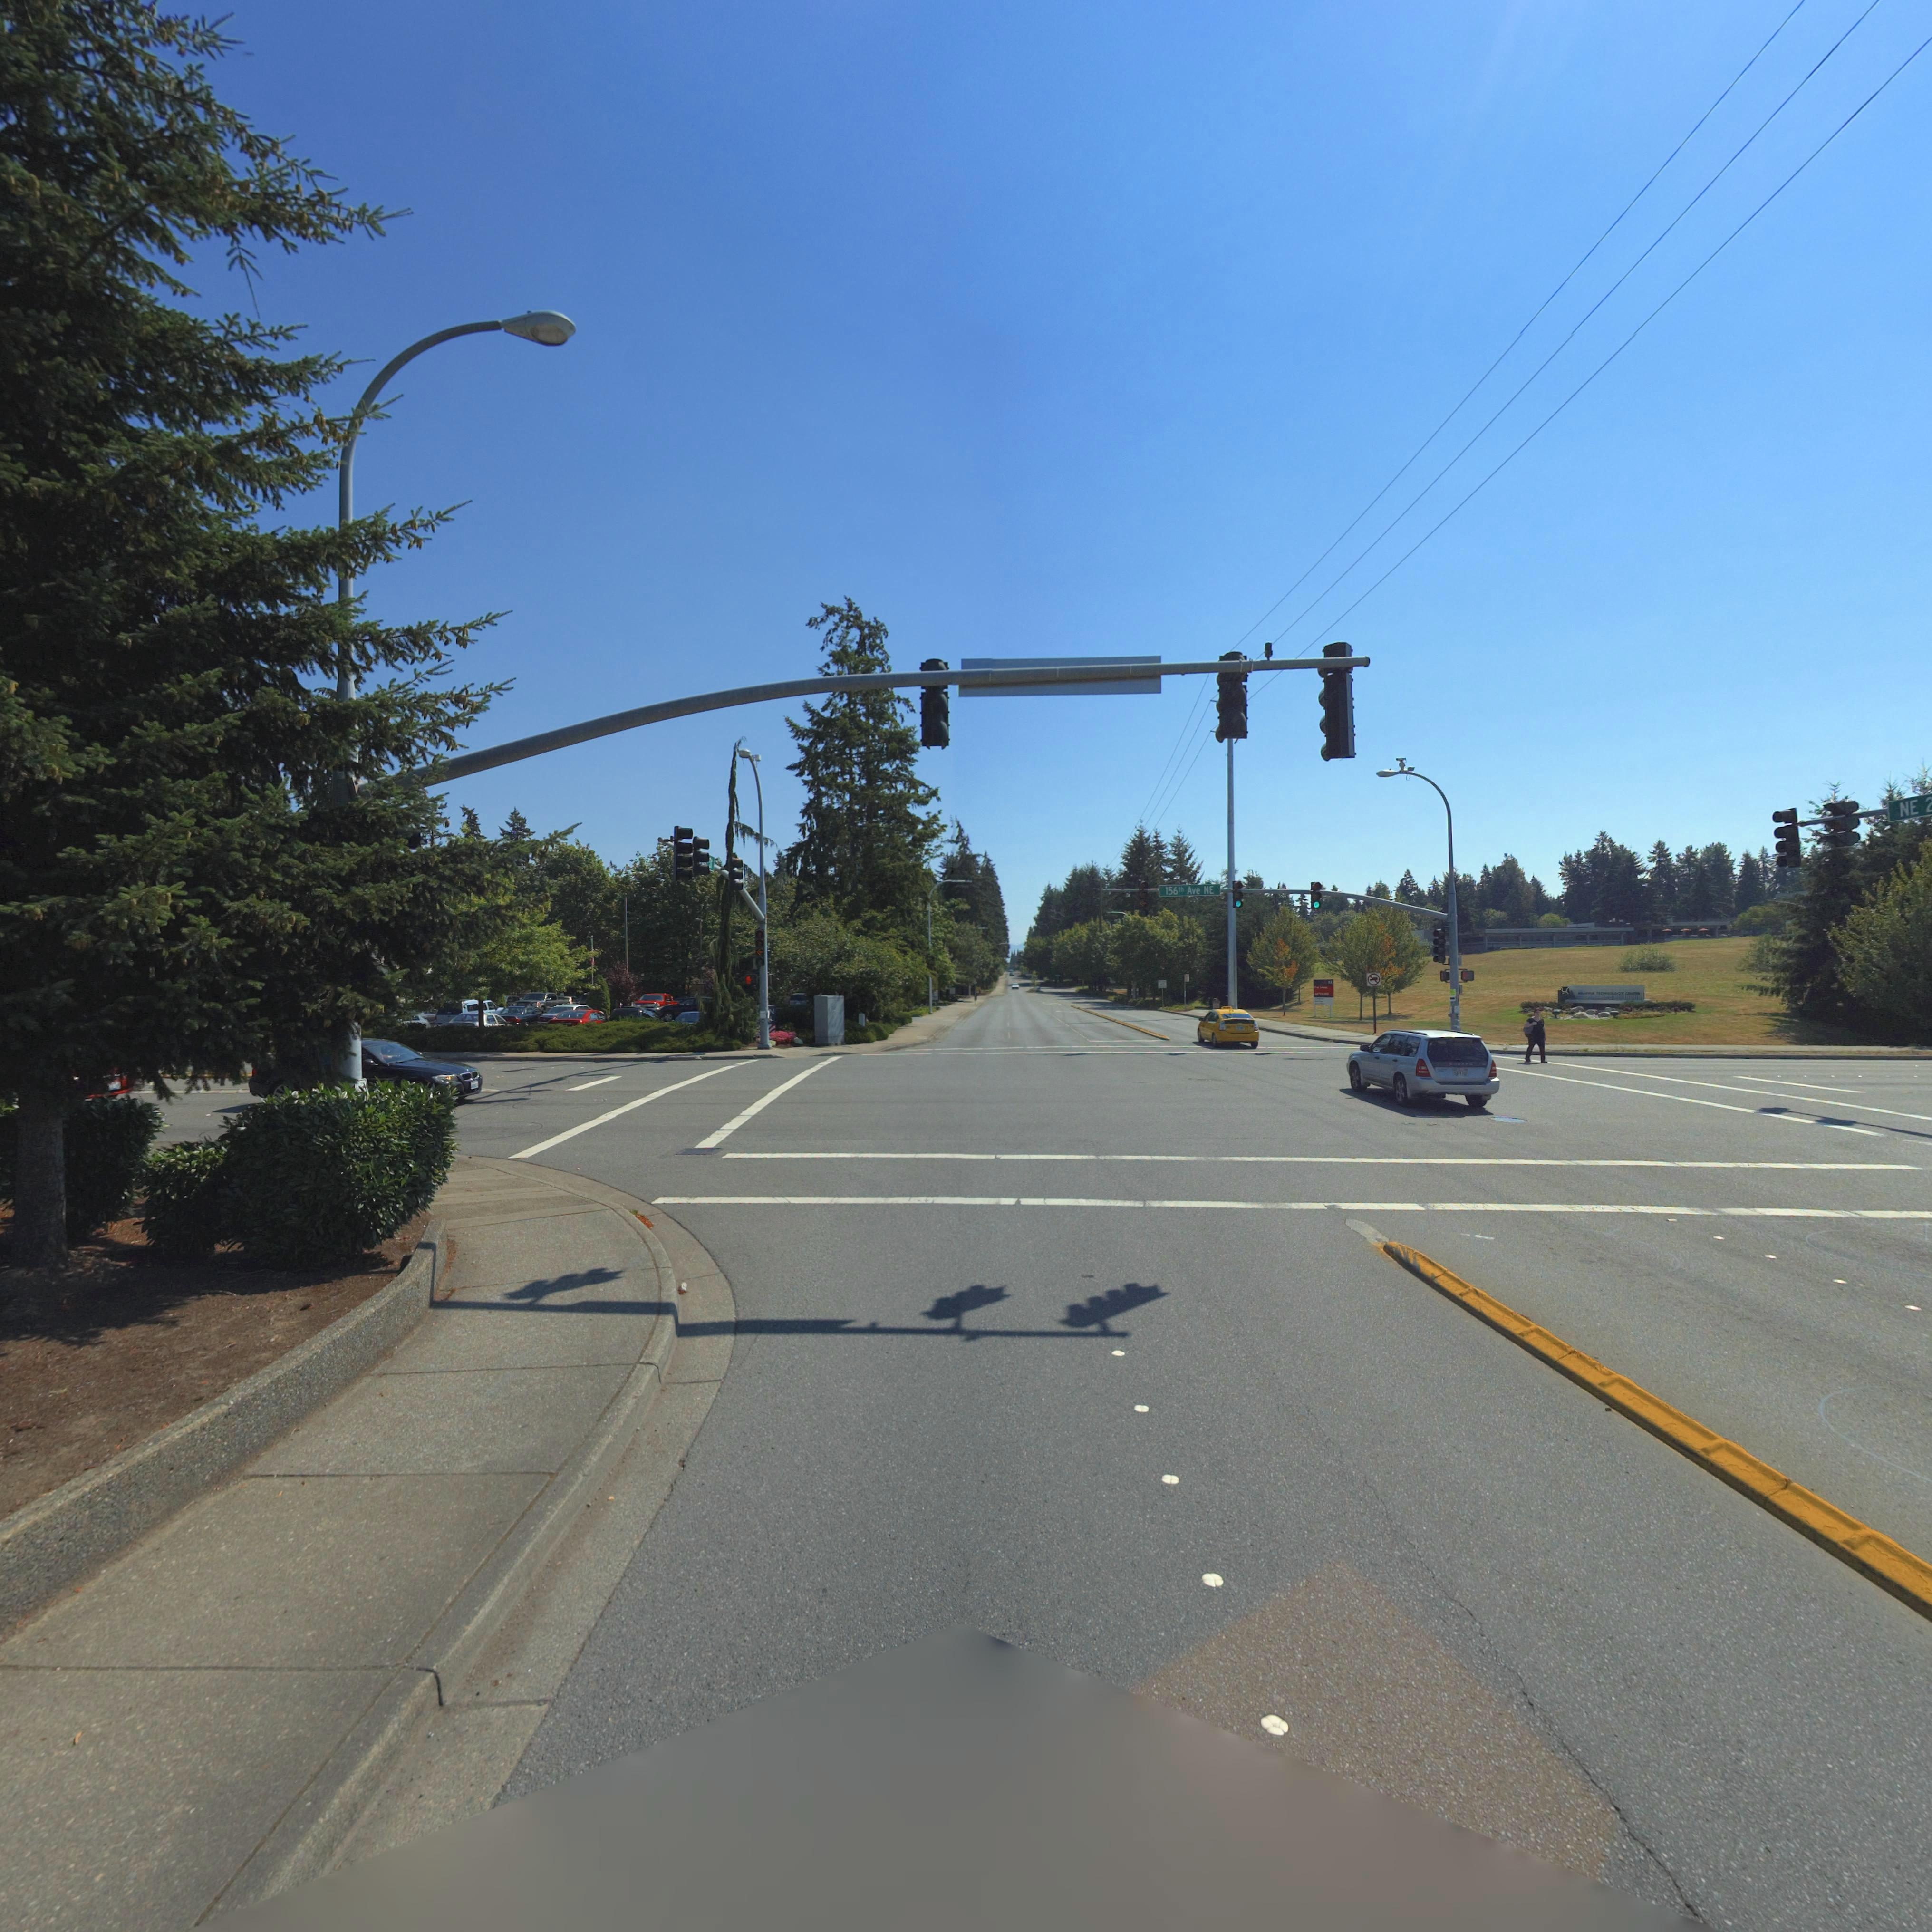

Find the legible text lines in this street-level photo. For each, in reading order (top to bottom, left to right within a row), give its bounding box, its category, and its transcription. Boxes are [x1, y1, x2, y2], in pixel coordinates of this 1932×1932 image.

[1165, 886, 1213, 895] StreetName: 156th Ave NE